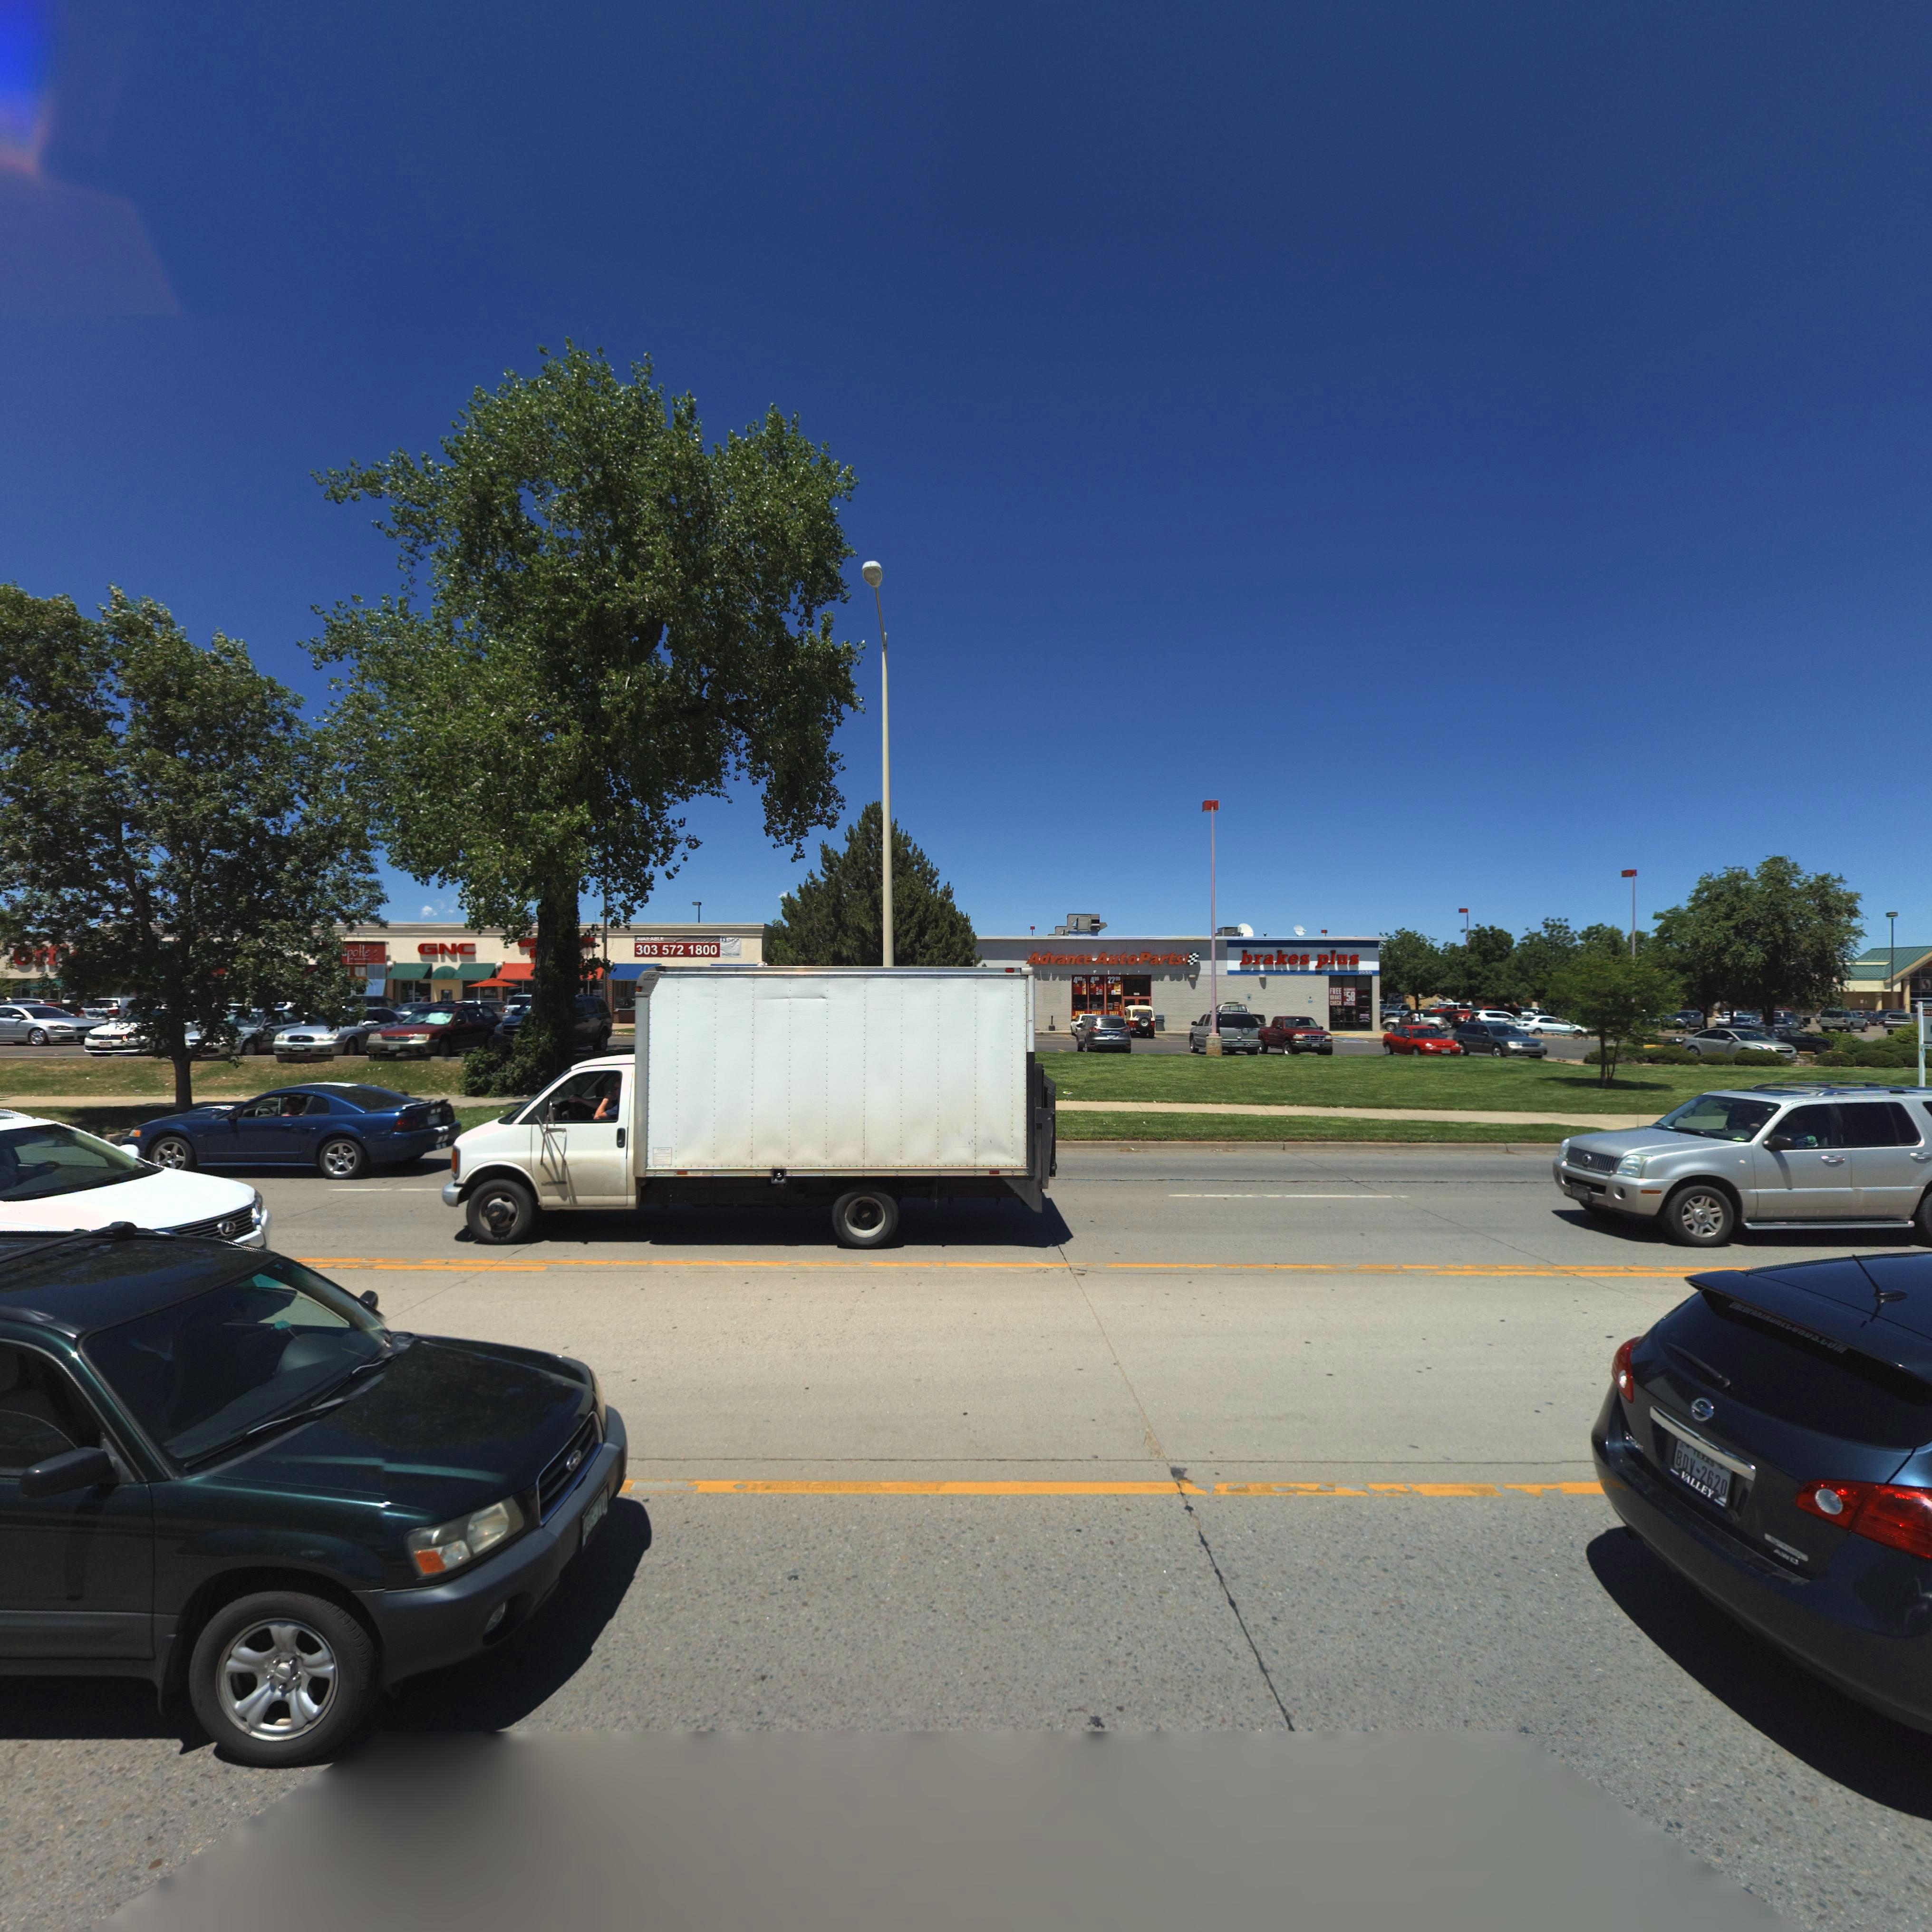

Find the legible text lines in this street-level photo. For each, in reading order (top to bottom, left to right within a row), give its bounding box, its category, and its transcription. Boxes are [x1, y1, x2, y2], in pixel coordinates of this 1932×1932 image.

[517, 937, 537, 947] BusinessName: *RE
[343, 944, 371, 961] BusinessName: *potle
[417, 943, 476, 955] BusinessName: GNC
[529, 948, 536, 958] BusinessName: B
[1025, 951, 1185, 966] BusinessName: Advance Auto Parts
[1238, 950, 1360, 968] BusinessName: brakes plus
[1359, 970, 1372, 974] StreetNumber: 10*0